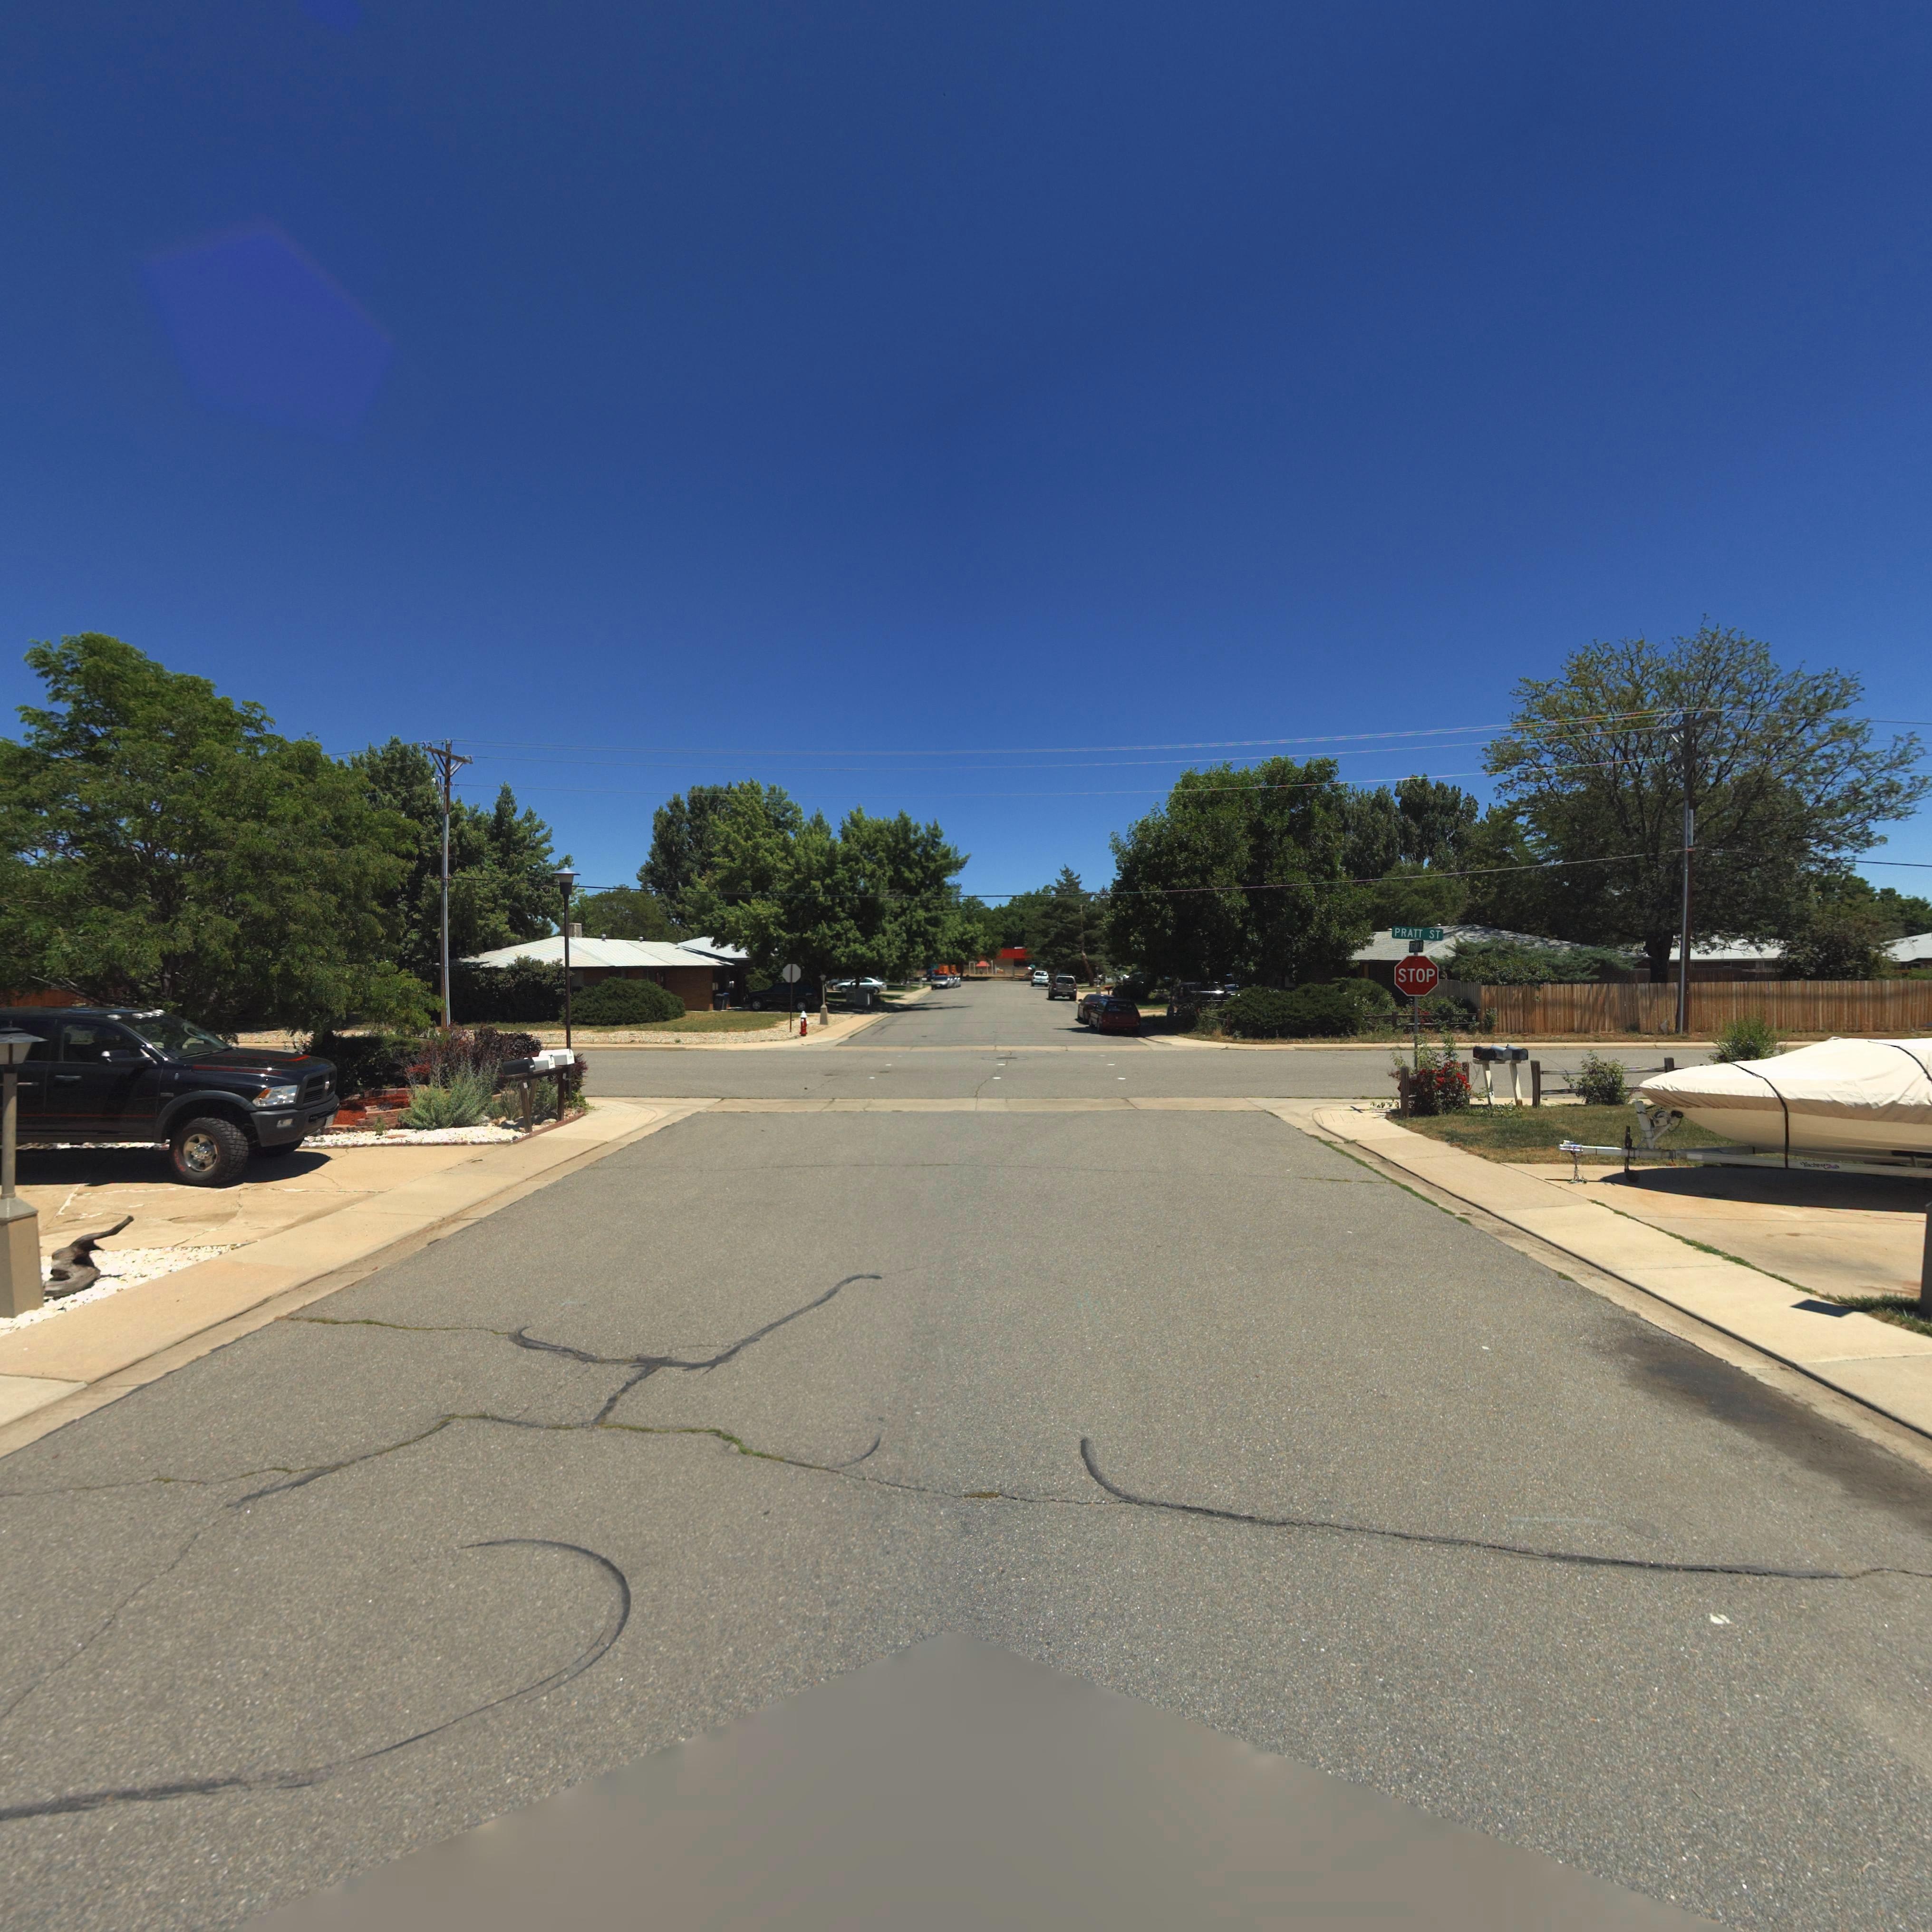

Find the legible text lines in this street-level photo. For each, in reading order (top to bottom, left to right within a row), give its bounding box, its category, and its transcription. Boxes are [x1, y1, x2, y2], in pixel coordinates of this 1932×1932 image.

[1394, 927, 1440, 939] StreetName: PRATT ST
[1409, 941, 1423, 951] StreetName: **FF*** PL